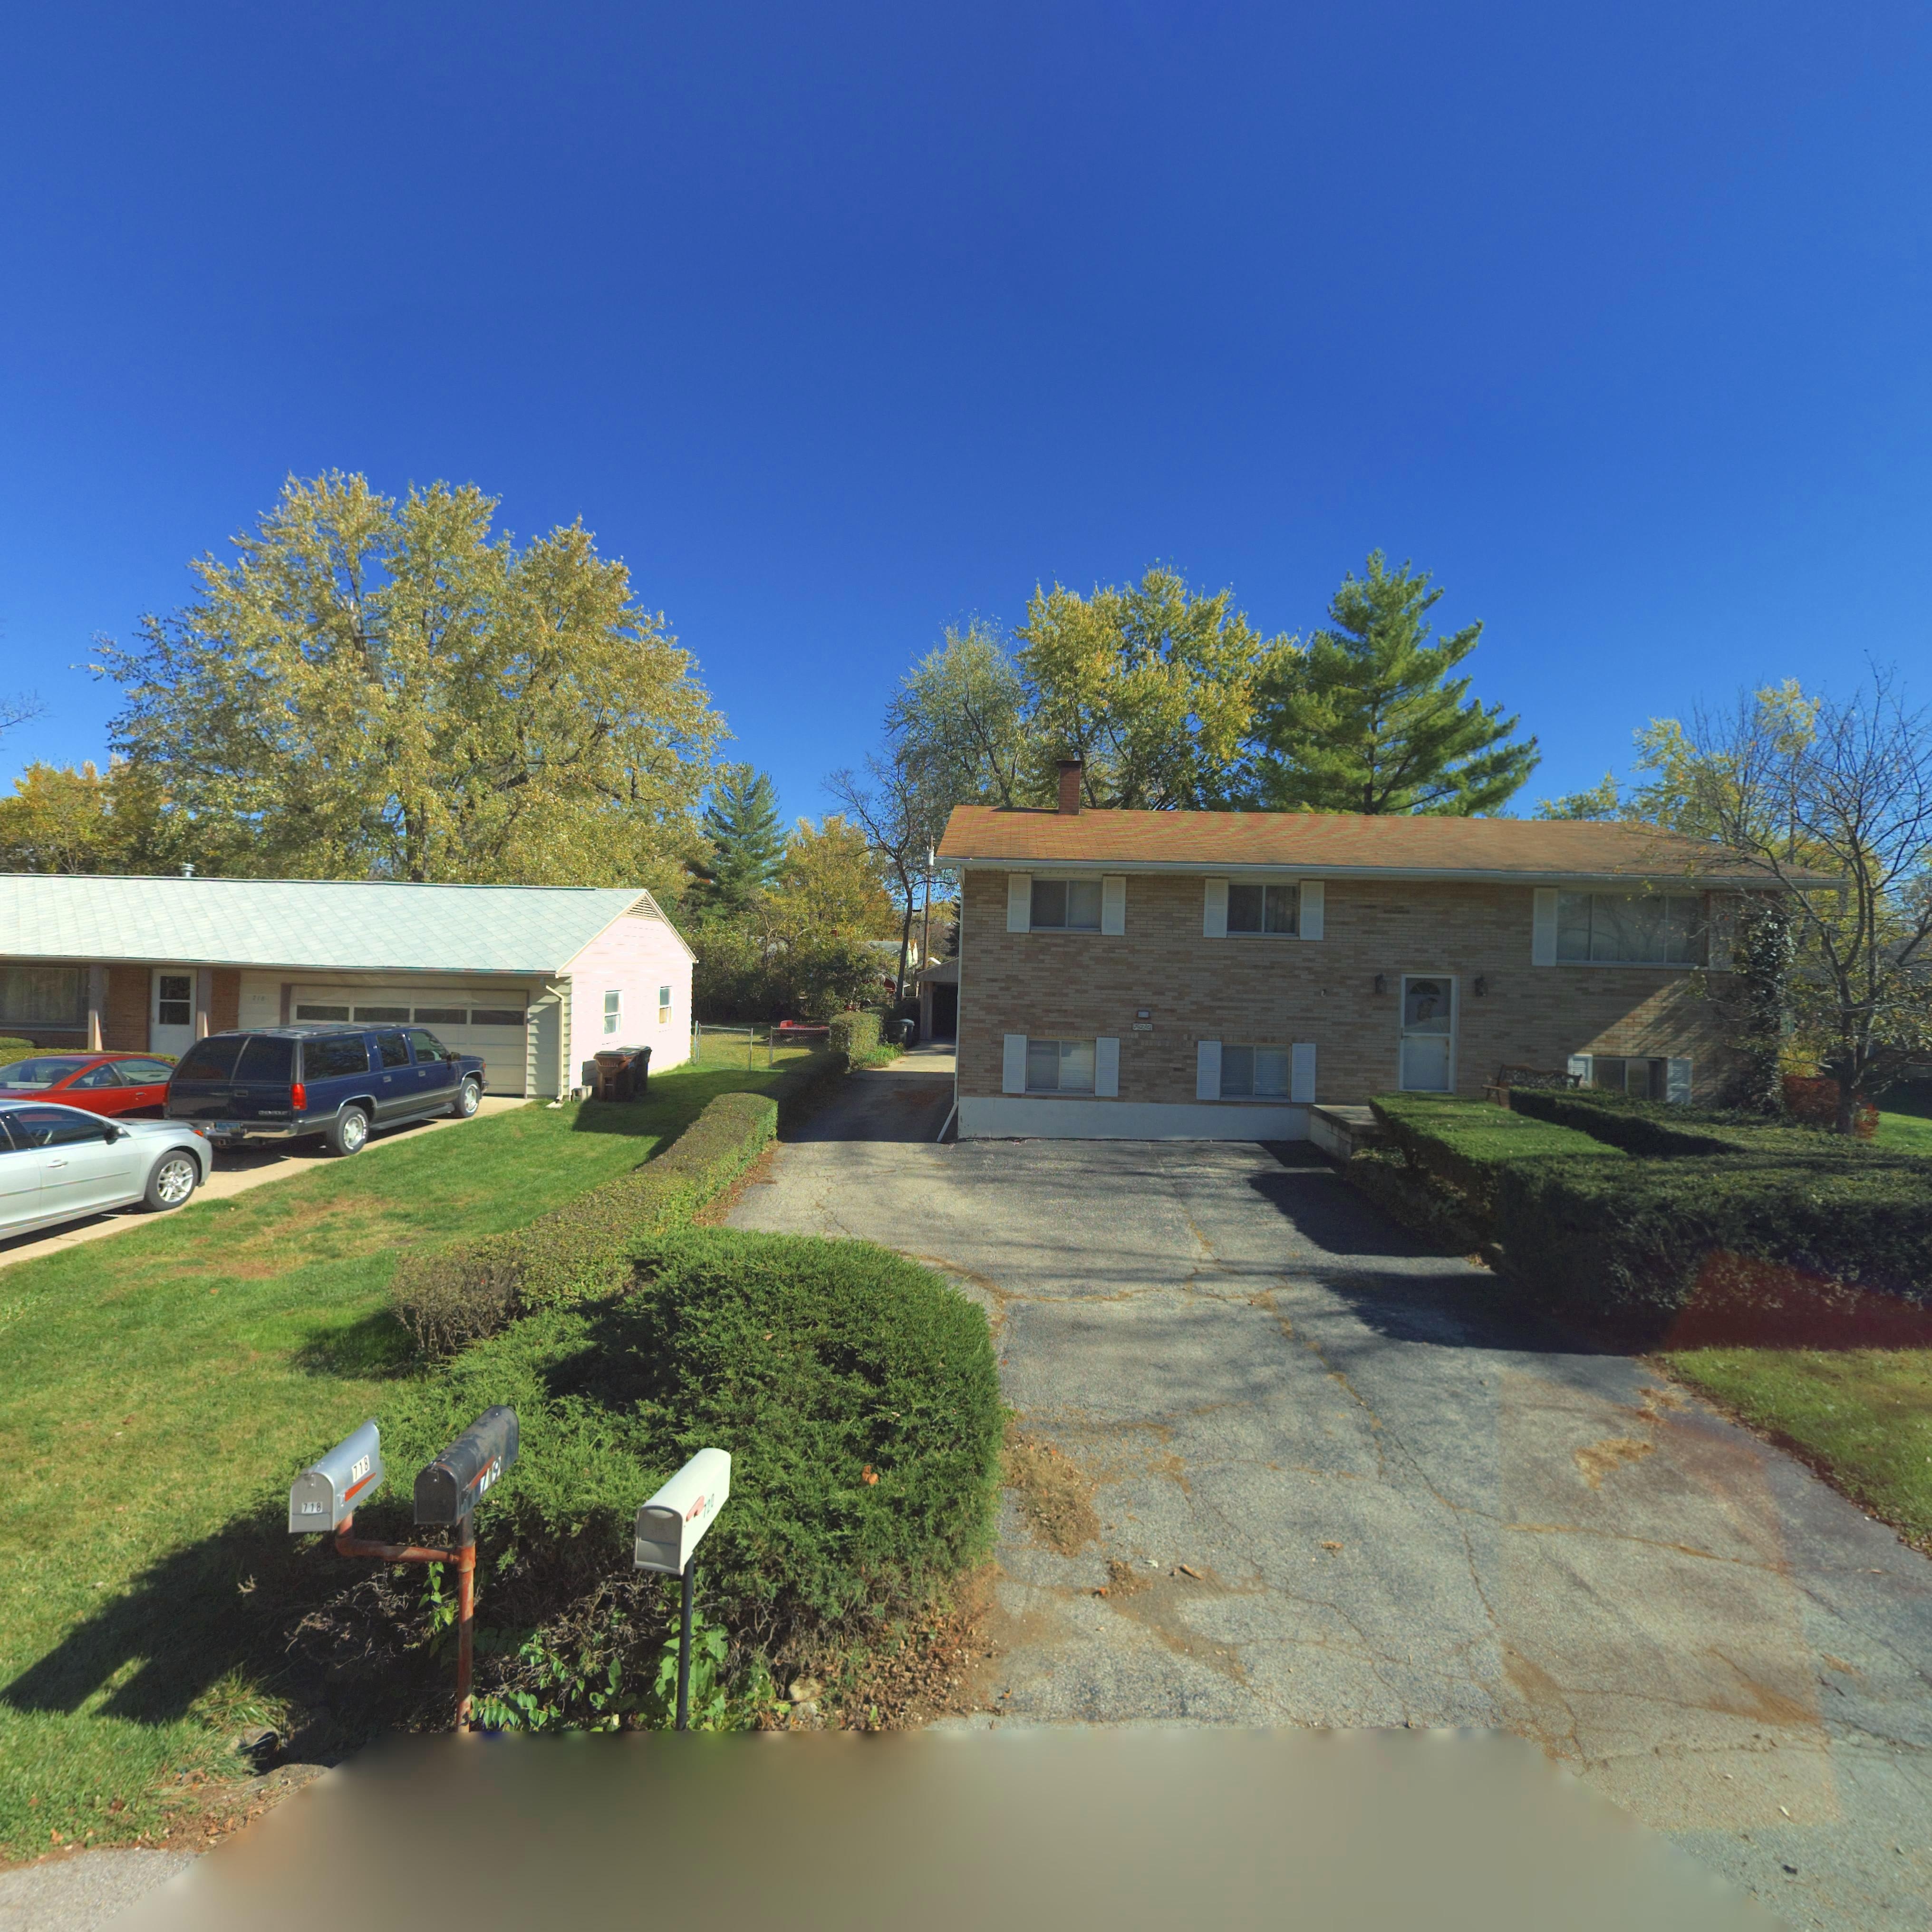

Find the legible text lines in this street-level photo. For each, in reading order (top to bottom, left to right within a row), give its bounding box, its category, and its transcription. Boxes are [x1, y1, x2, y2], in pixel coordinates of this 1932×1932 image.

[252, 995, 265, 1001] StreetNumber: 718
[1134, 1024, 1151, 1030] StreetNumber: 720
[352, 1456, 368, 1481] StreetNumber: 718
[480, 1456, 501, 1495] StreetNumber: 719
[303, 1501, 321, 1513] StreetNumber: 718
[703, 1491, 715, 1519] StreetNumber: 720